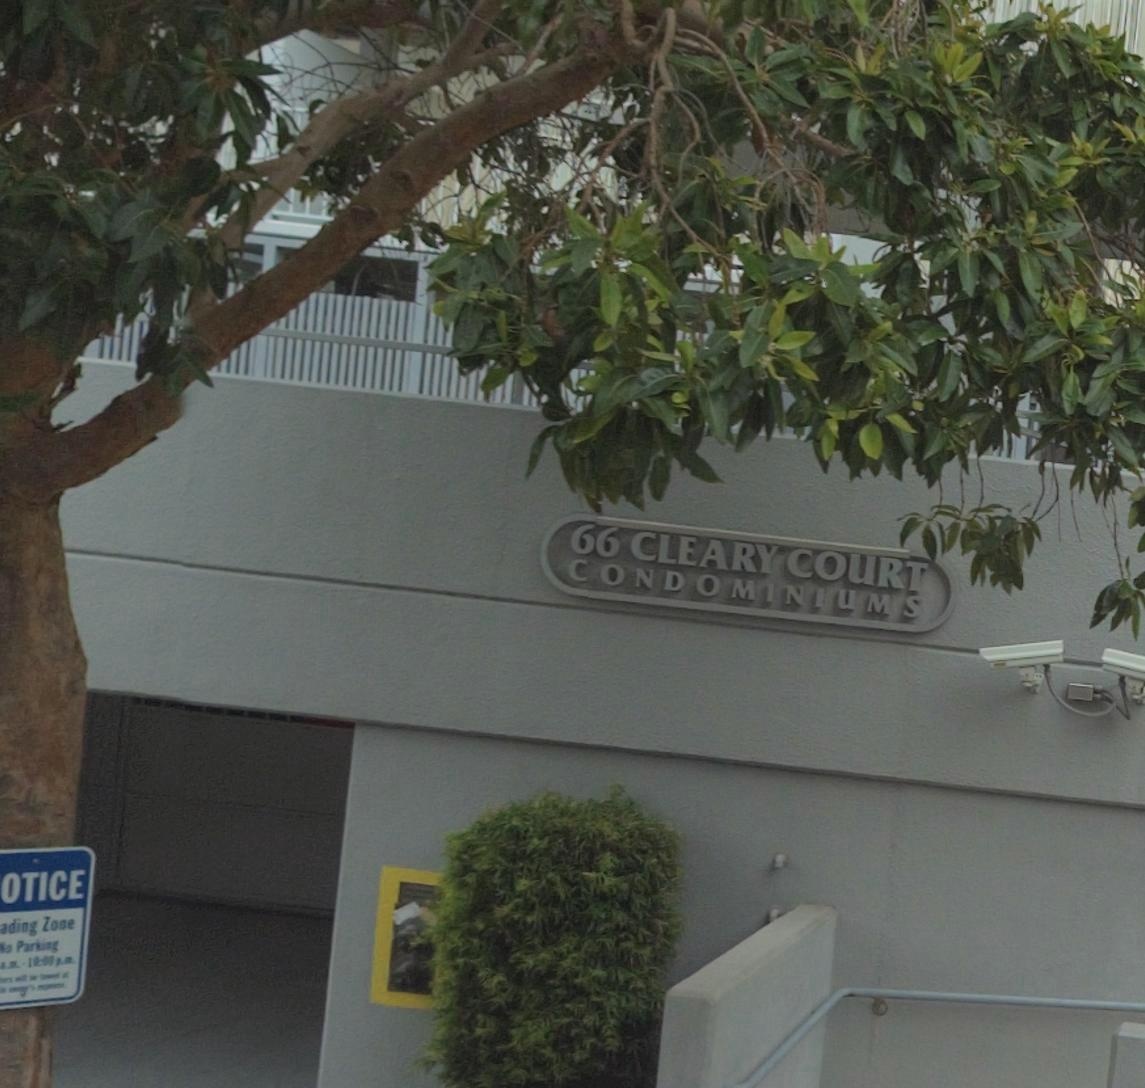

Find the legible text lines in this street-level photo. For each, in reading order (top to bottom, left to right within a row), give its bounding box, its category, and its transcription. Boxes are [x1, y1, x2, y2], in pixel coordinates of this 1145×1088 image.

[569, 521, 624, 562] StreetNumber: 66
[625, 527, 934, 596] BusinessName: CLEARY COURT
[563, 555, 928, 623] BusinessName: CONDOMINIUMS
[0, 864, 91, 909] None: OTICE
[0, 913, 78, 940] None: ading Zone
[1, 938, 63, 957] None: o Parking
[6, 953, 78, 970] None: M - 10:00pm